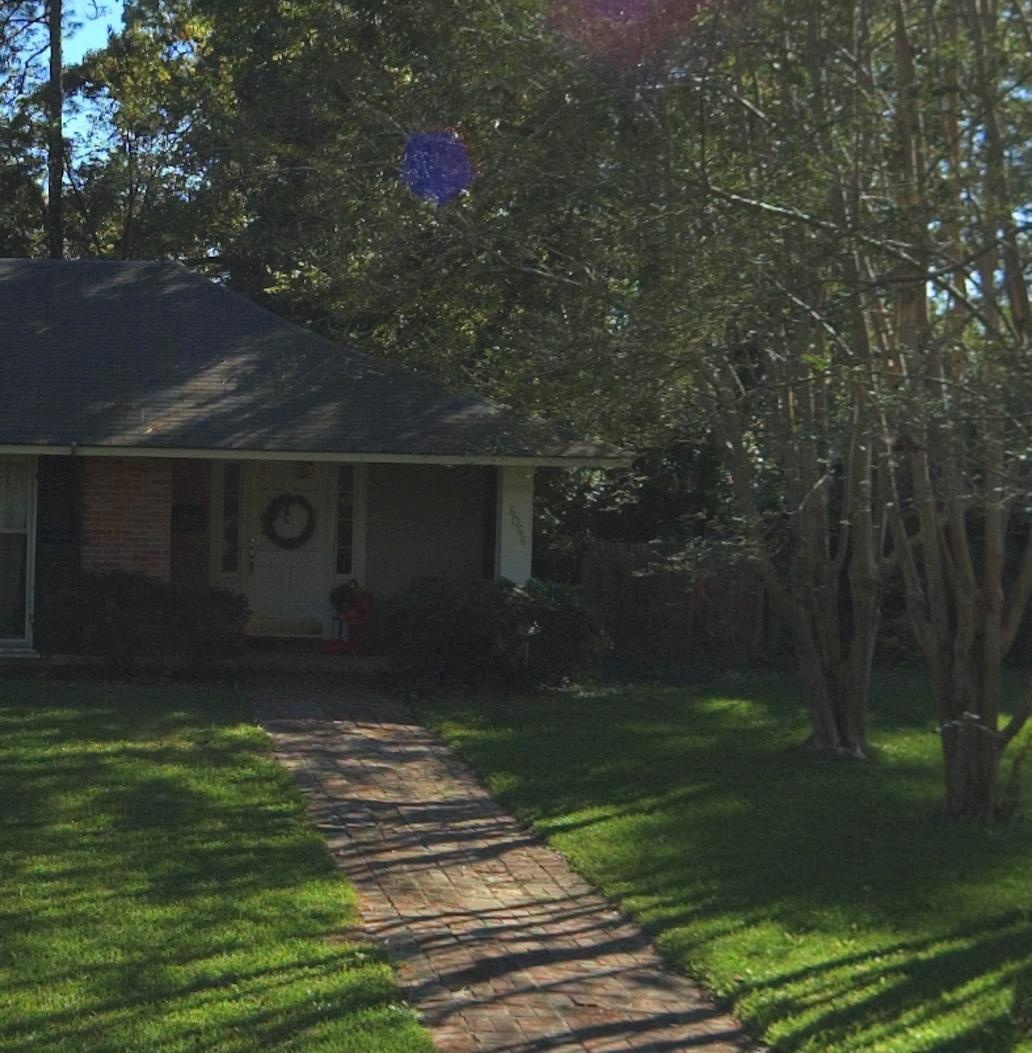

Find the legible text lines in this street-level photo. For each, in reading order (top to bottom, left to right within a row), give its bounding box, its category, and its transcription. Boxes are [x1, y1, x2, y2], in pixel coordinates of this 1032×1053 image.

[507, 504, 529, 548] StreetNumber: 6066